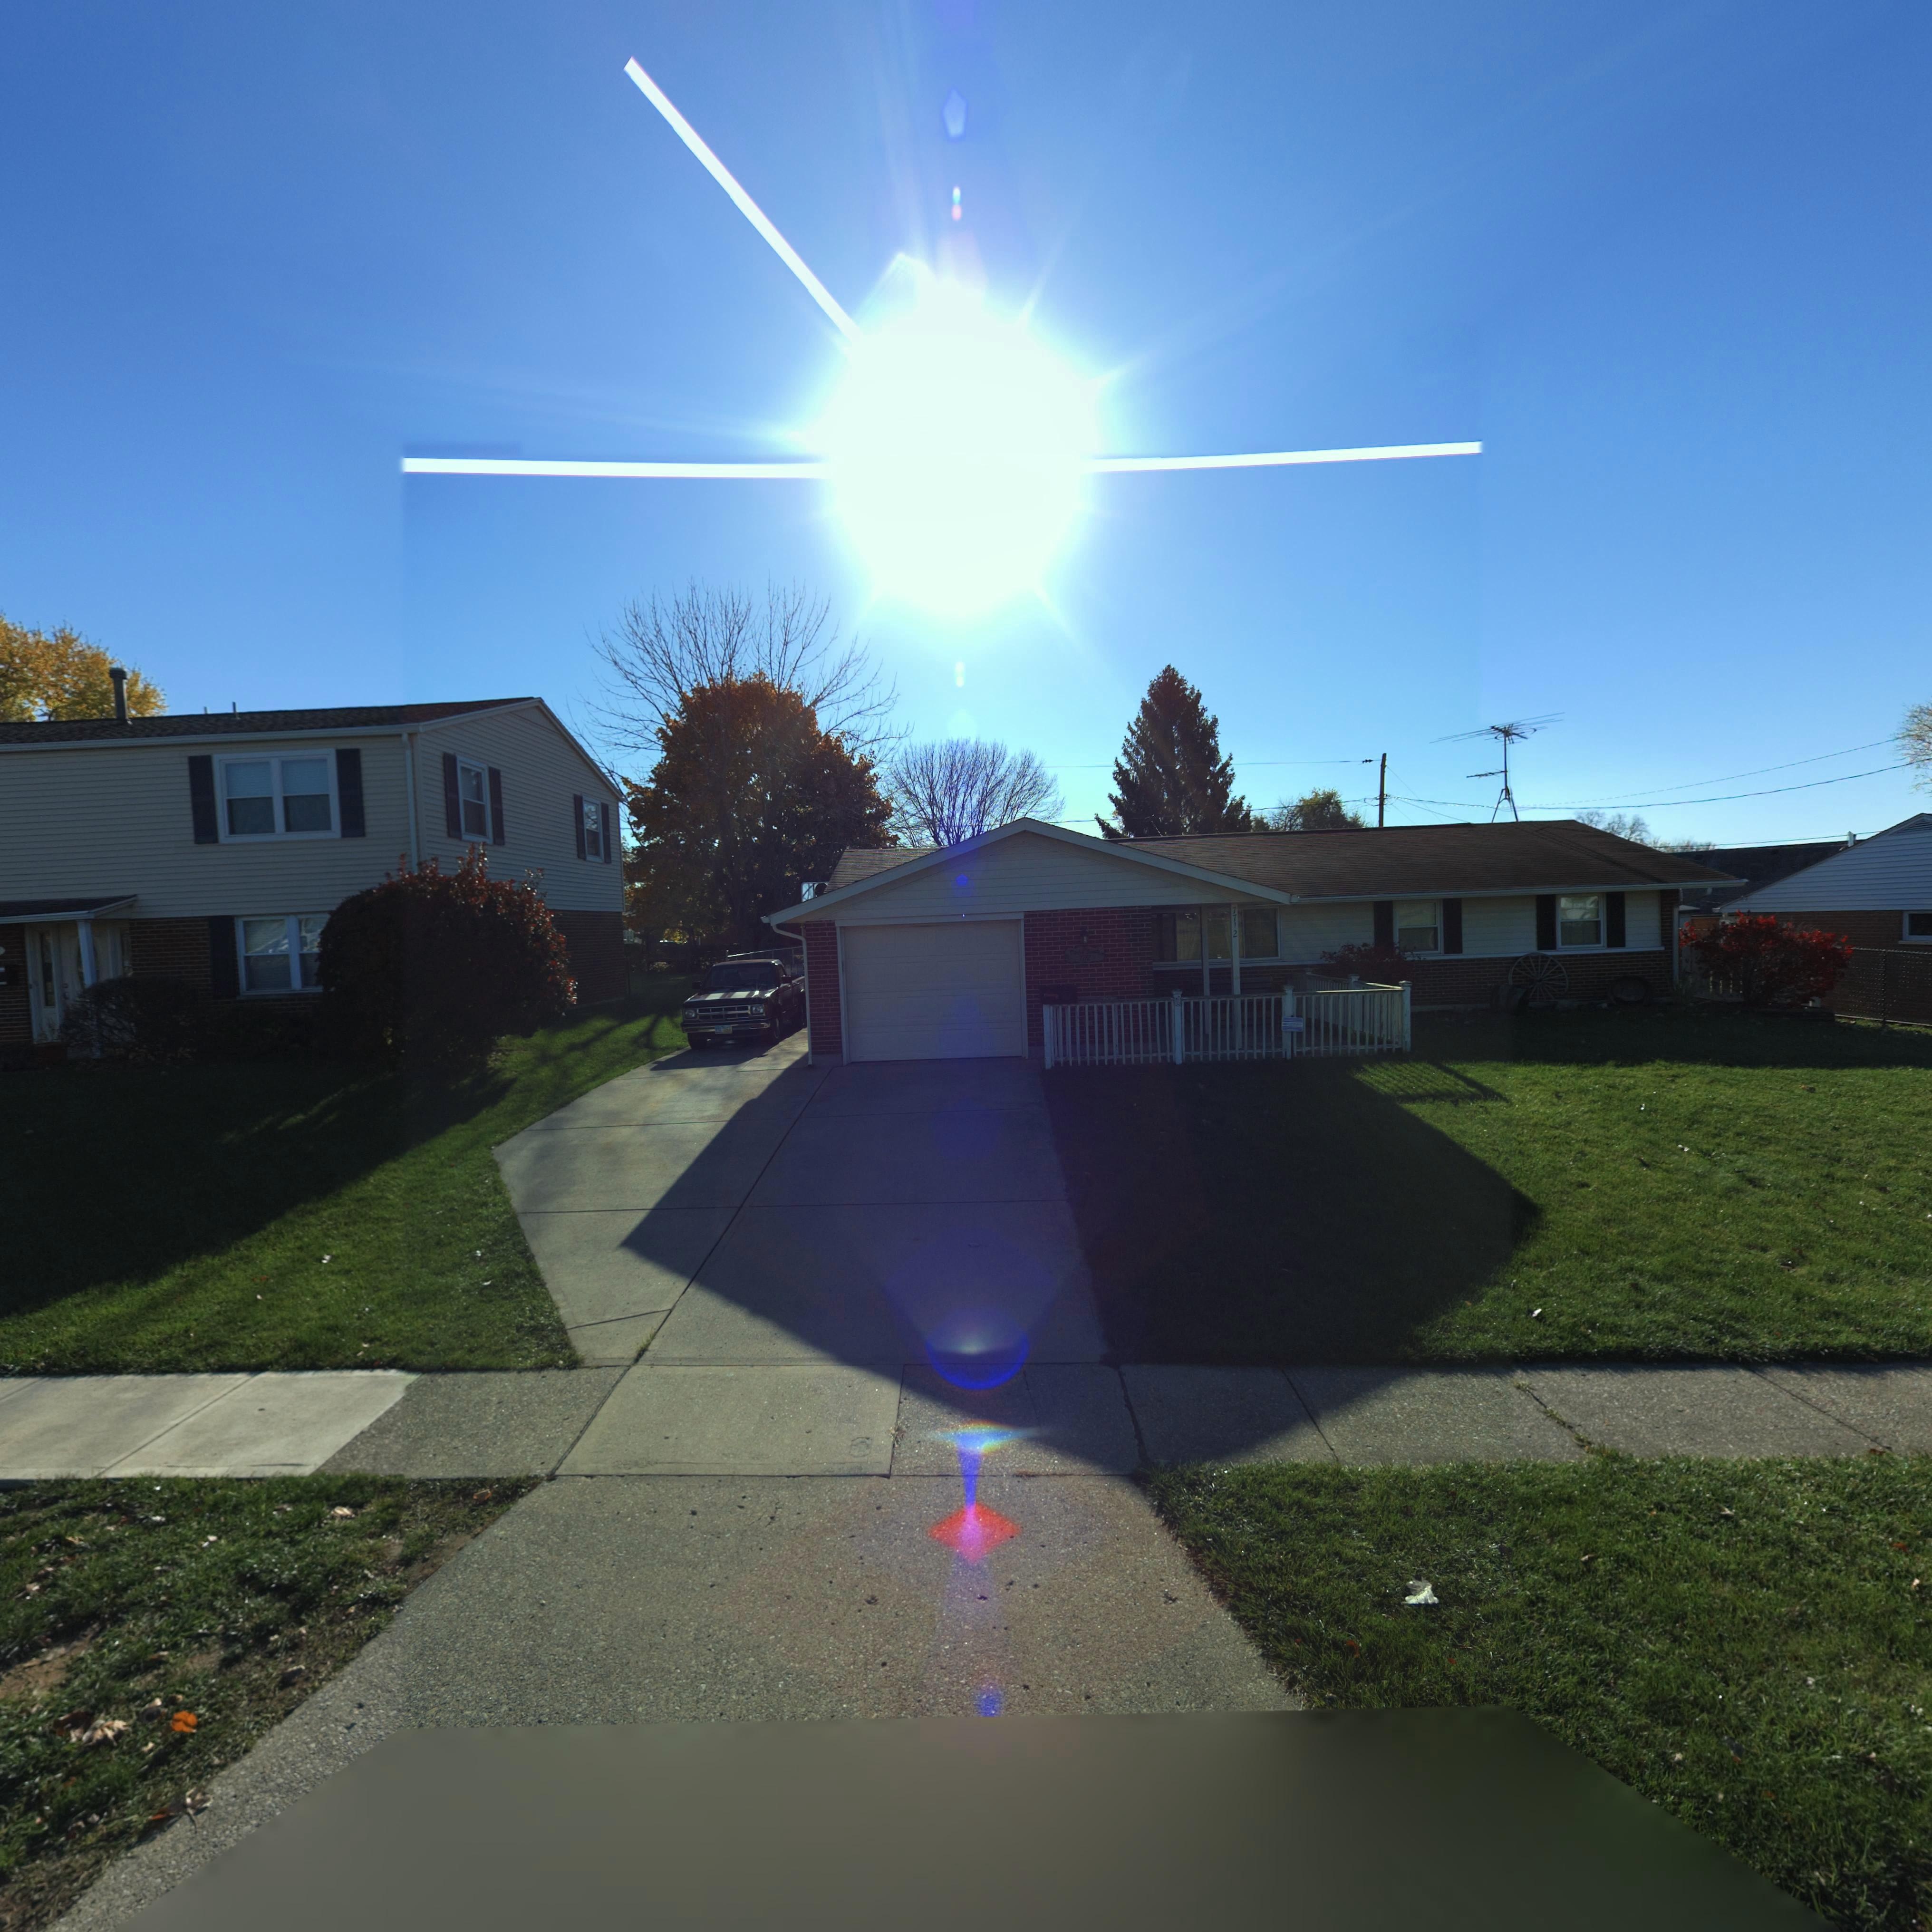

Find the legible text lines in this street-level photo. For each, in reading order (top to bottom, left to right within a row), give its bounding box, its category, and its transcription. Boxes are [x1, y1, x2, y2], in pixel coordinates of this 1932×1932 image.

[1231, 906, 1238, 939] StreetNumber: 7712